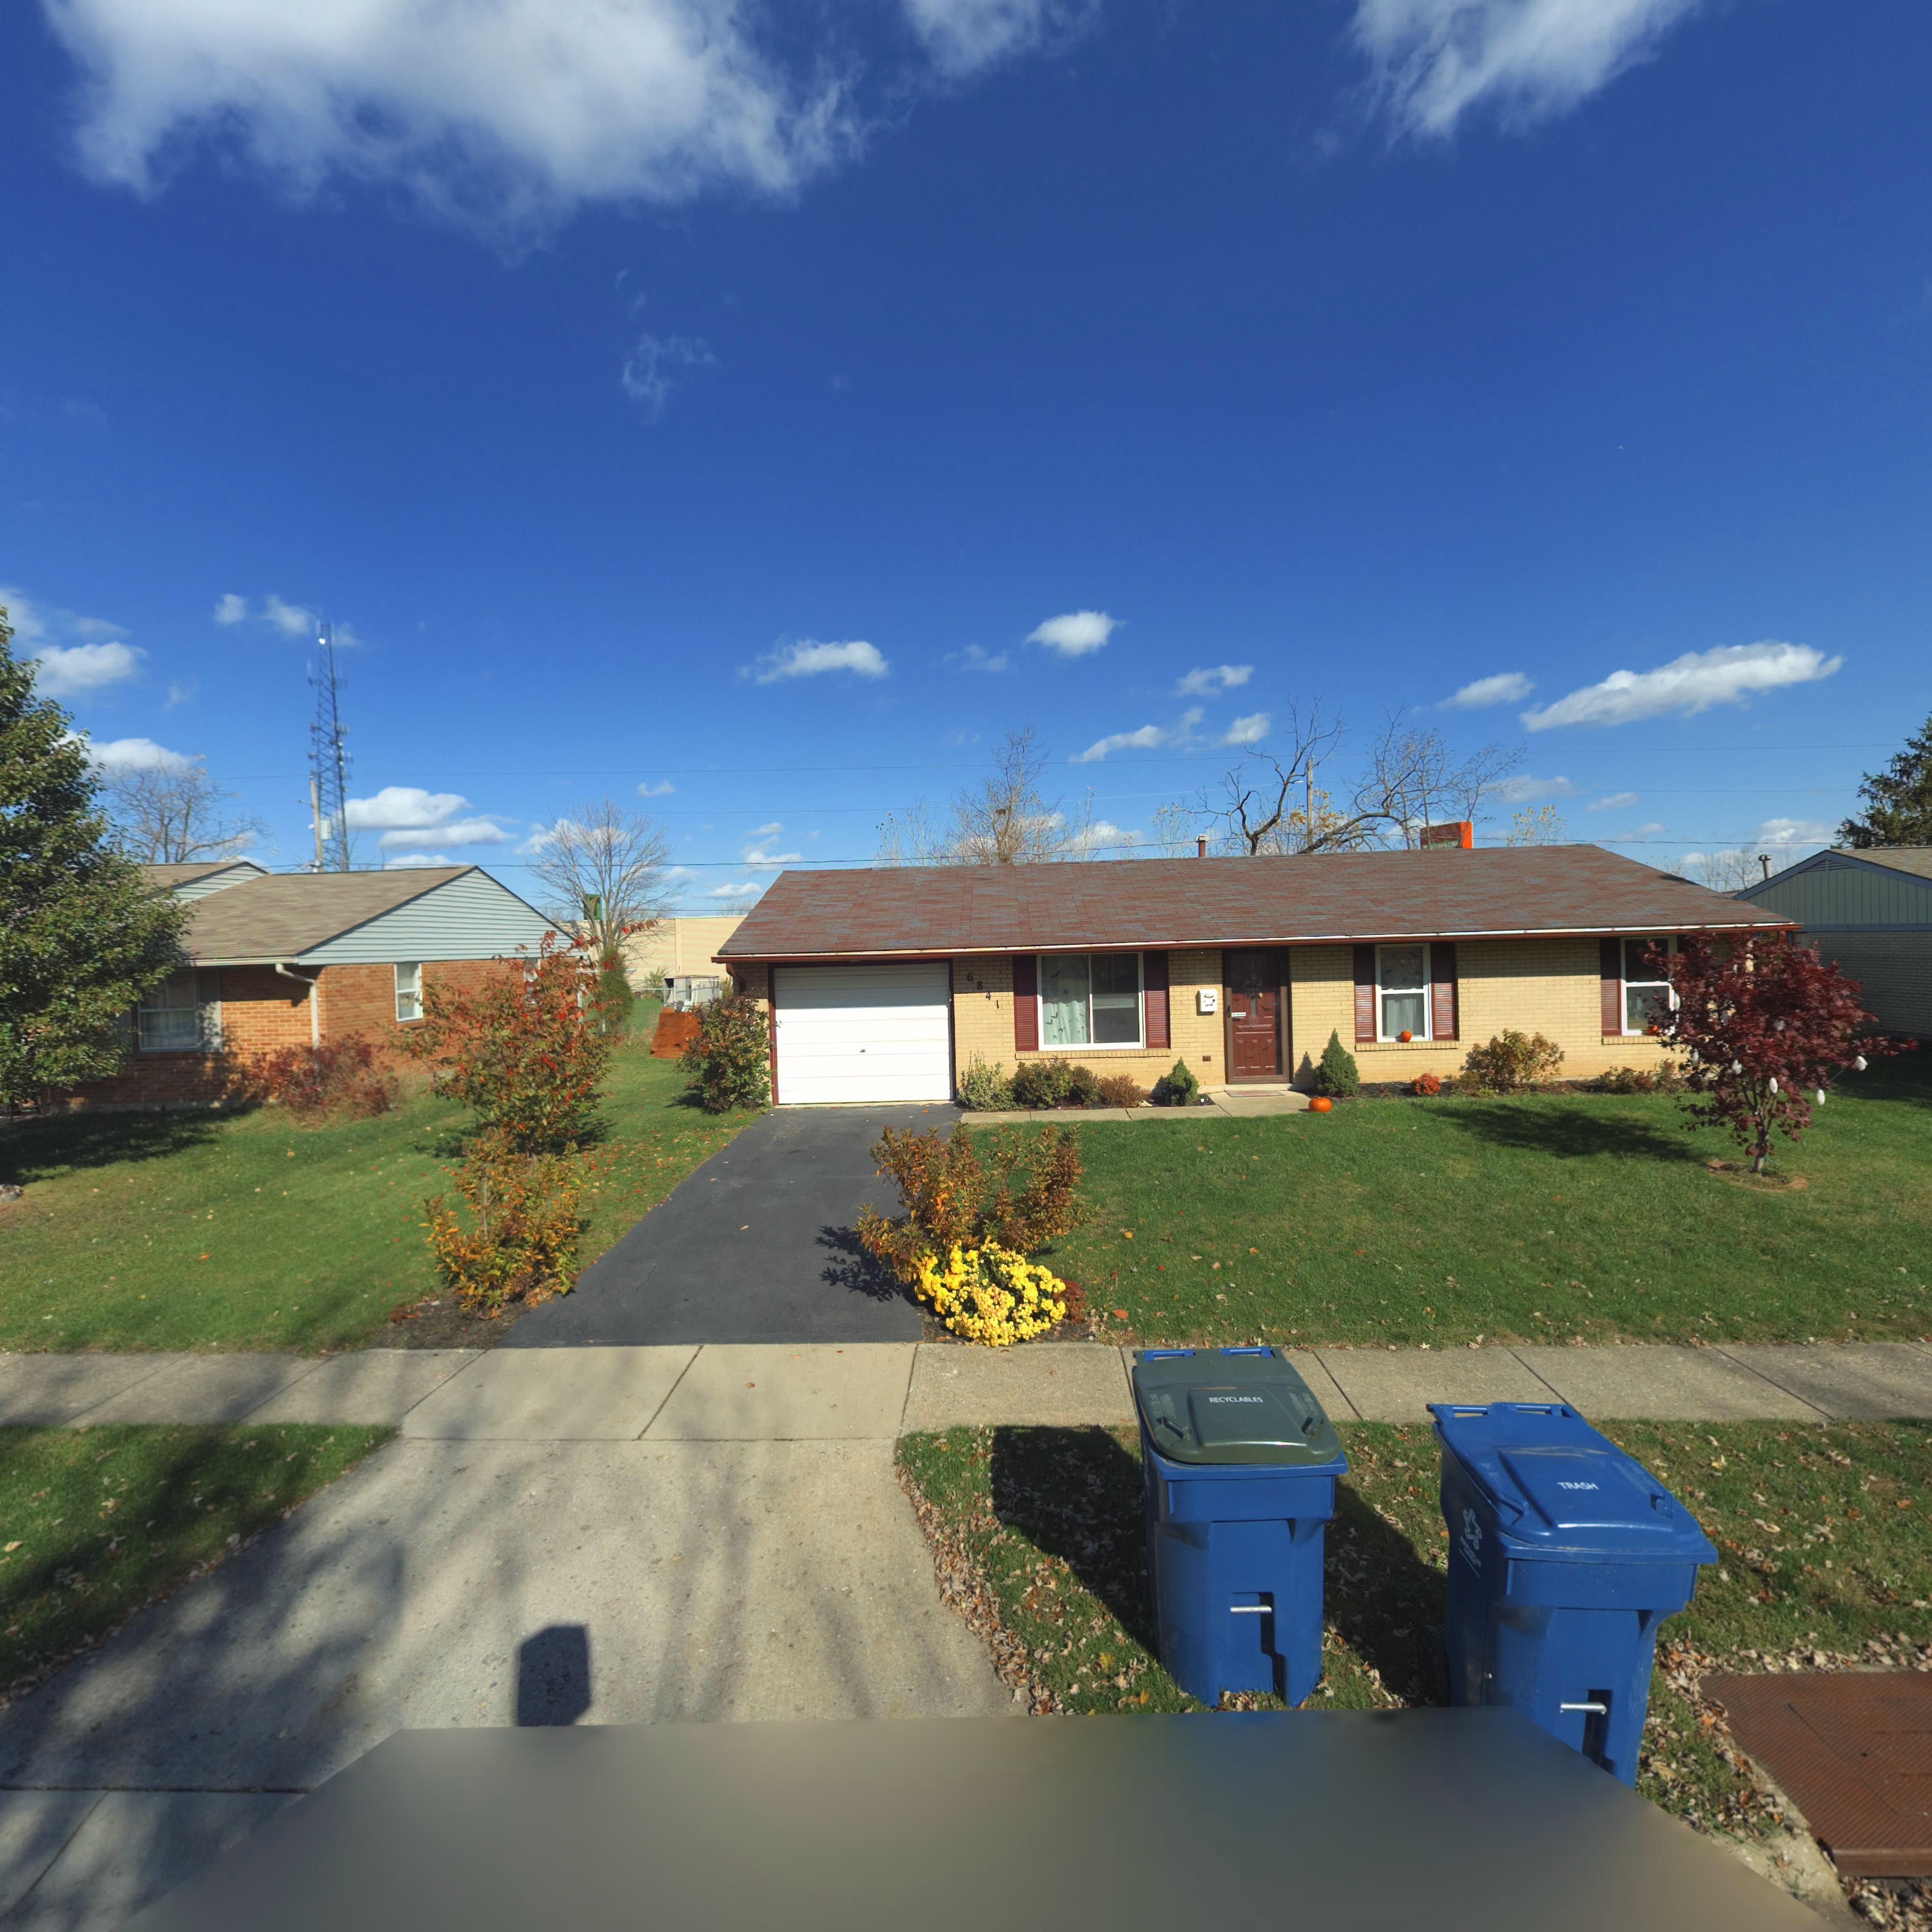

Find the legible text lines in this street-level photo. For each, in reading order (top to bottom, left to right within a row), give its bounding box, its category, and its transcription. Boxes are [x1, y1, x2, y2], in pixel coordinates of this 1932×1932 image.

[966, 970, 1000, 1011] StreetNumber: 6841